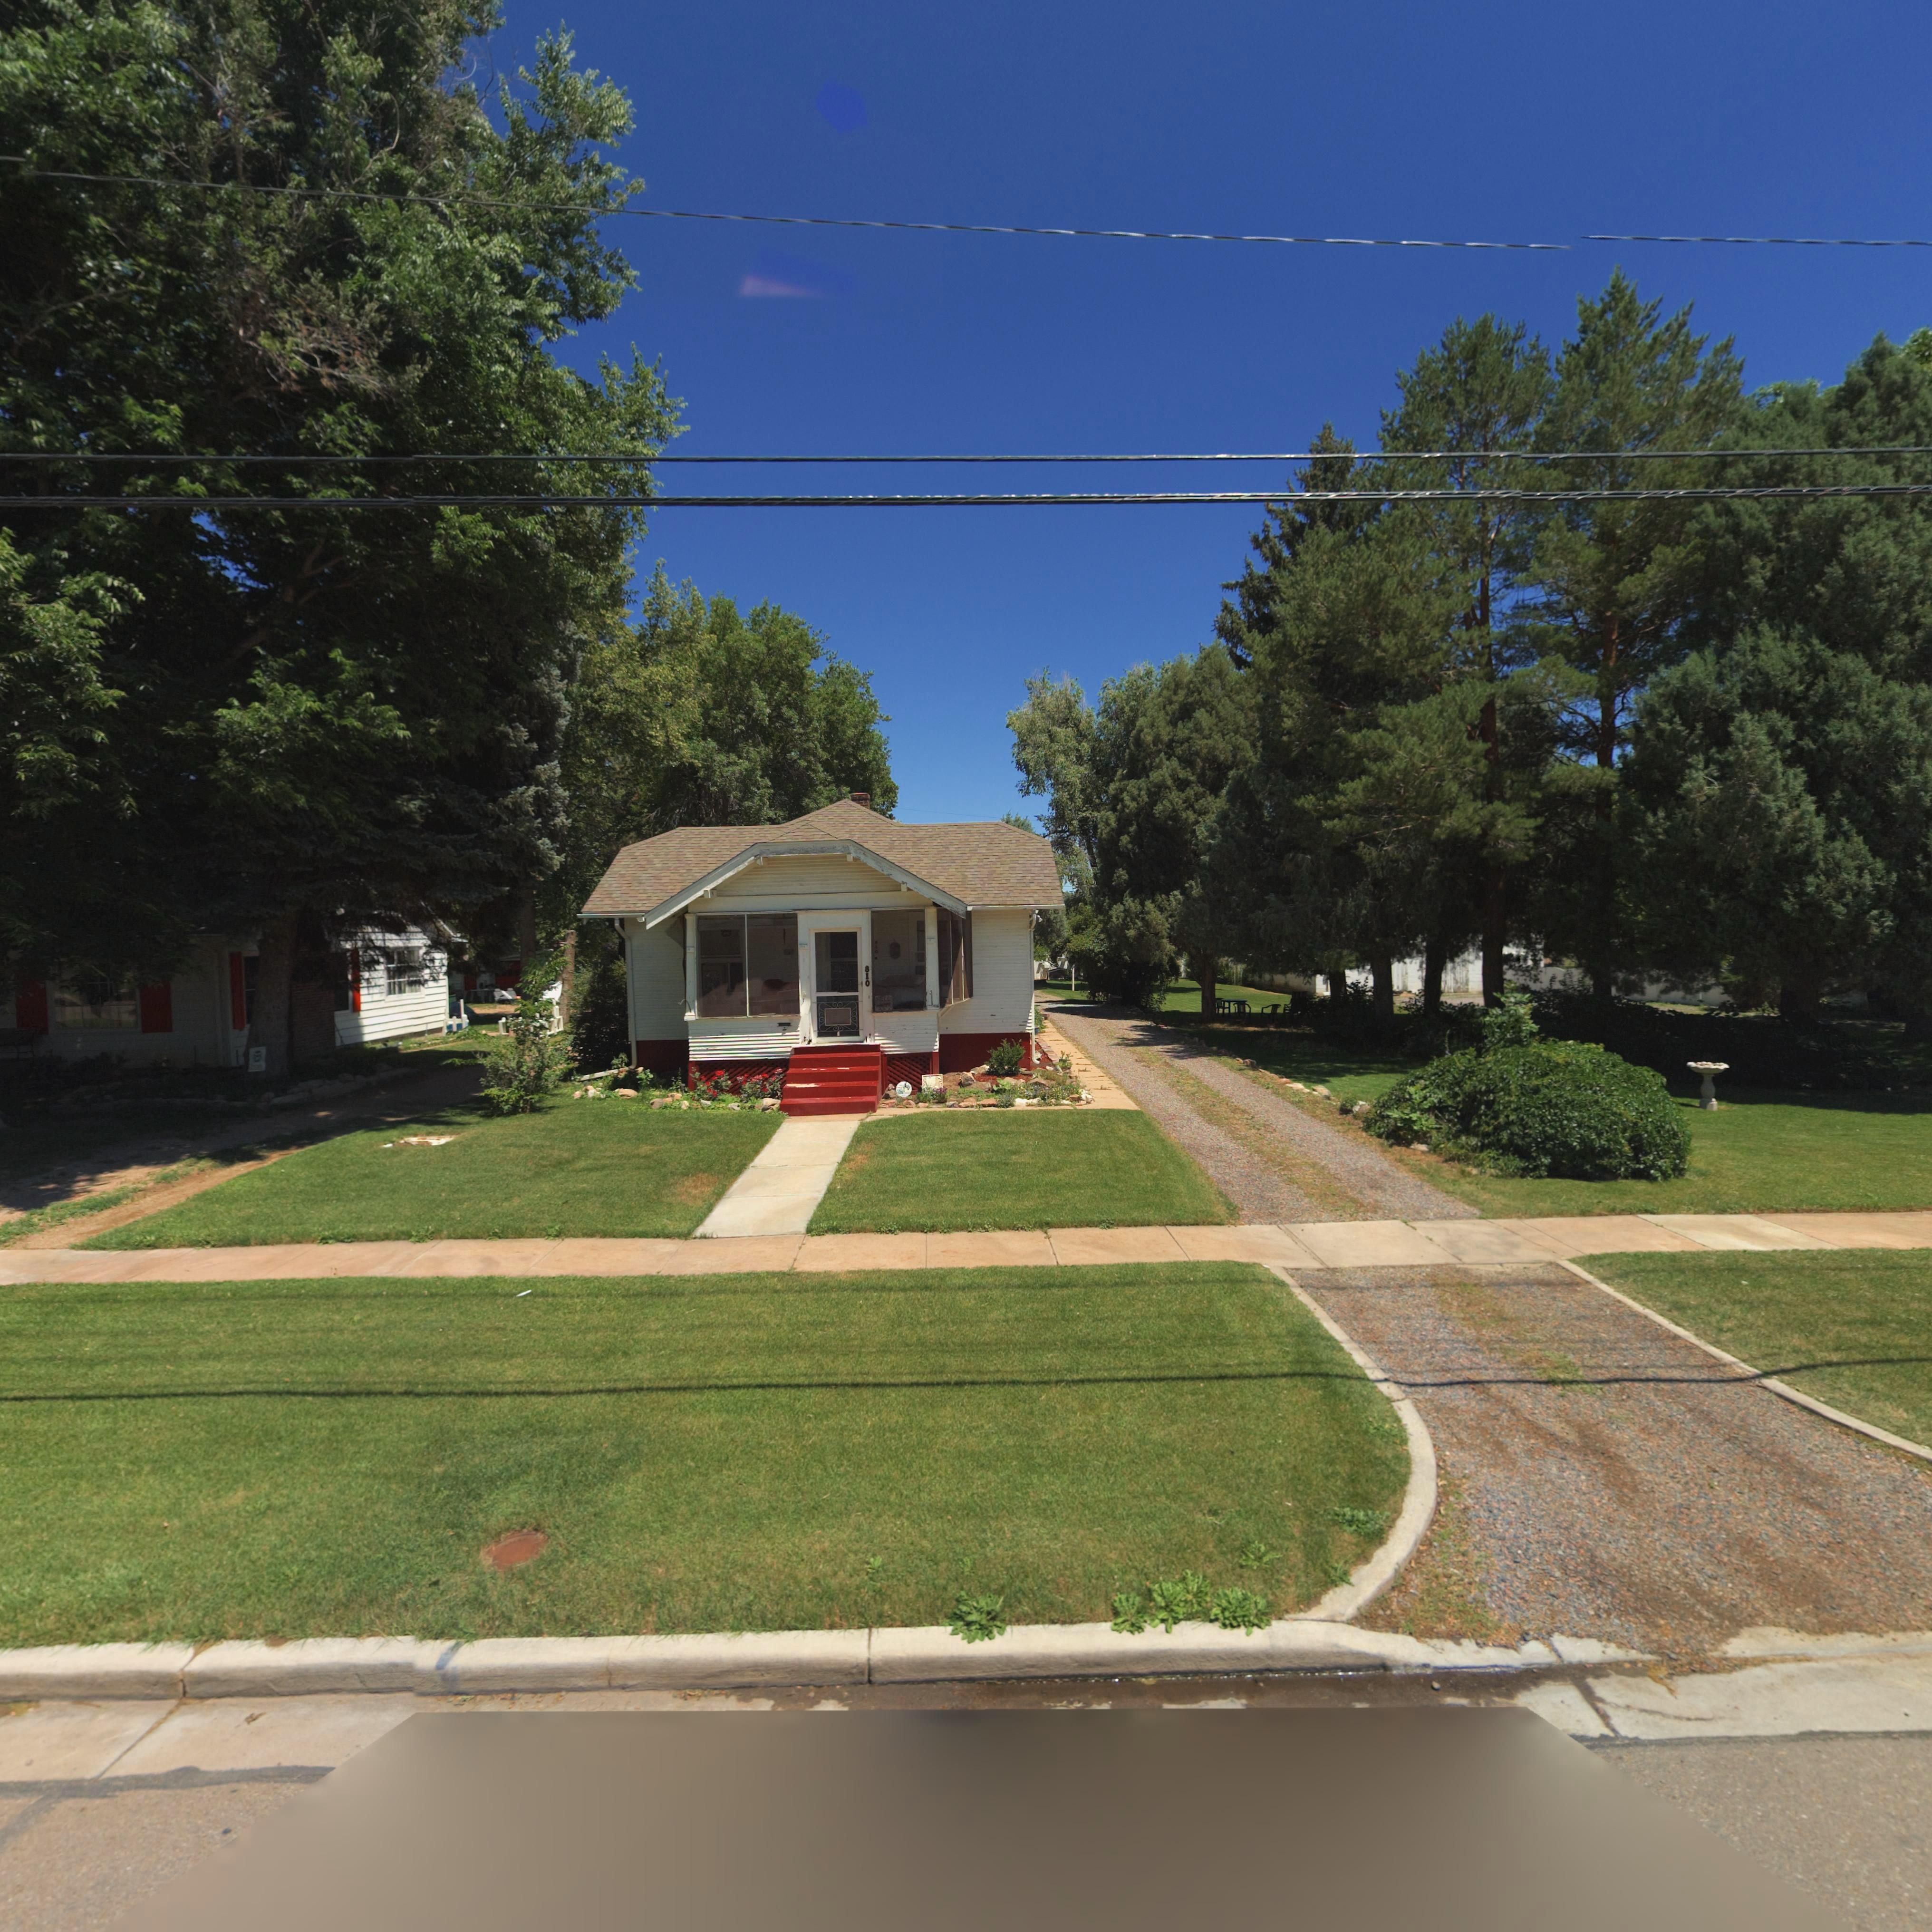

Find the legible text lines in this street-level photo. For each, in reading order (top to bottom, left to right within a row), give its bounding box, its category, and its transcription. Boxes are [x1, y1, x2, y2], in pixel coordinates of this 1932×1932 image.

[874, 940, 878, 953] StreetNumber: 810
[864, 965, 869, 987] StreetNumber: 810